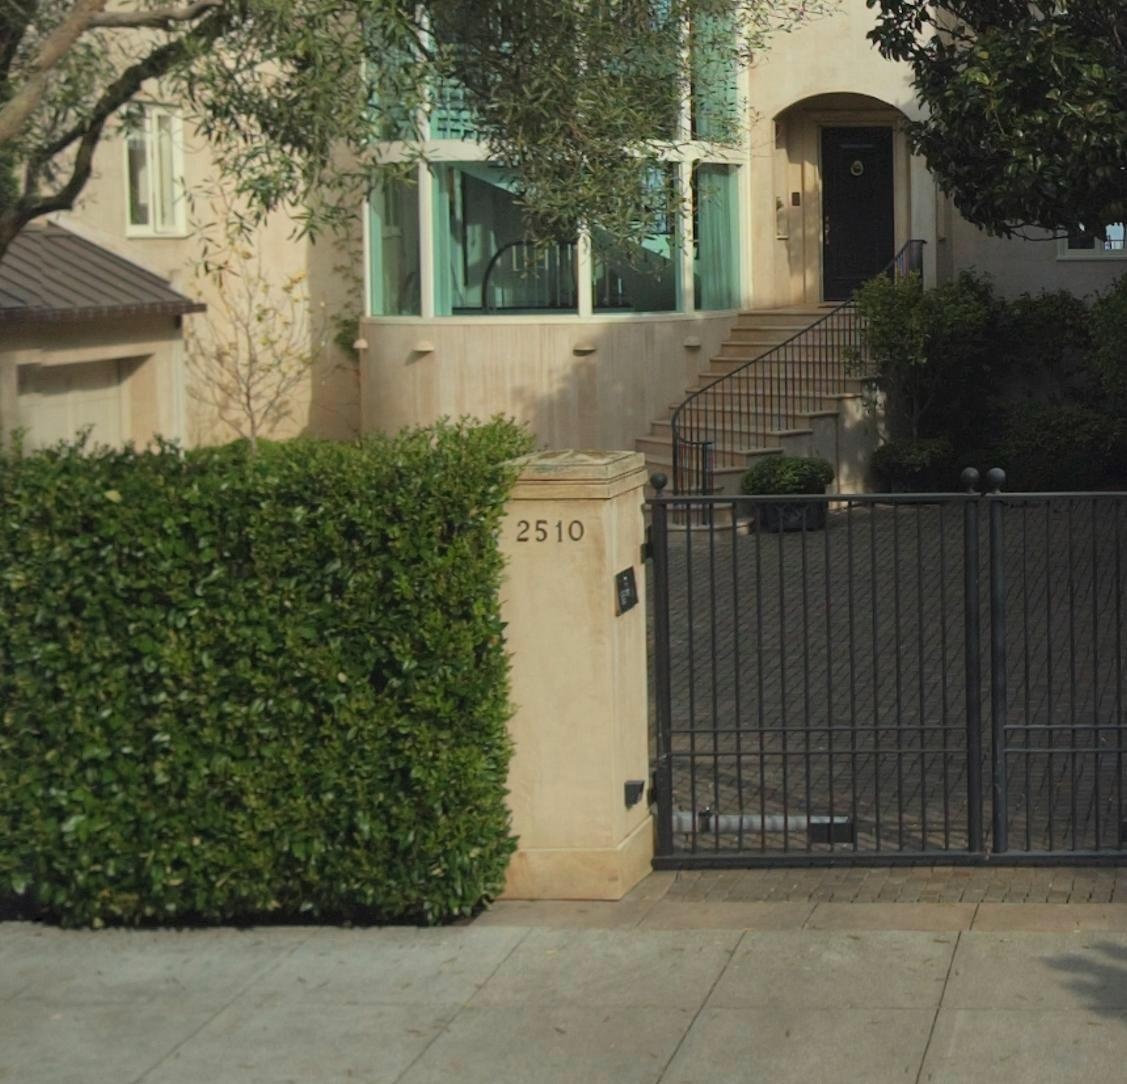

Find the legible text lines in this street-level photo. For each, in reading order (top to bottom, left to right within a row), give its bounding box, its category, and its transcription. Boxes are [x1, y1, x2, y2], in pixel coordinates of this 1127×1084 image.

[513, 517, 586, 545] StreetNumber: 2510